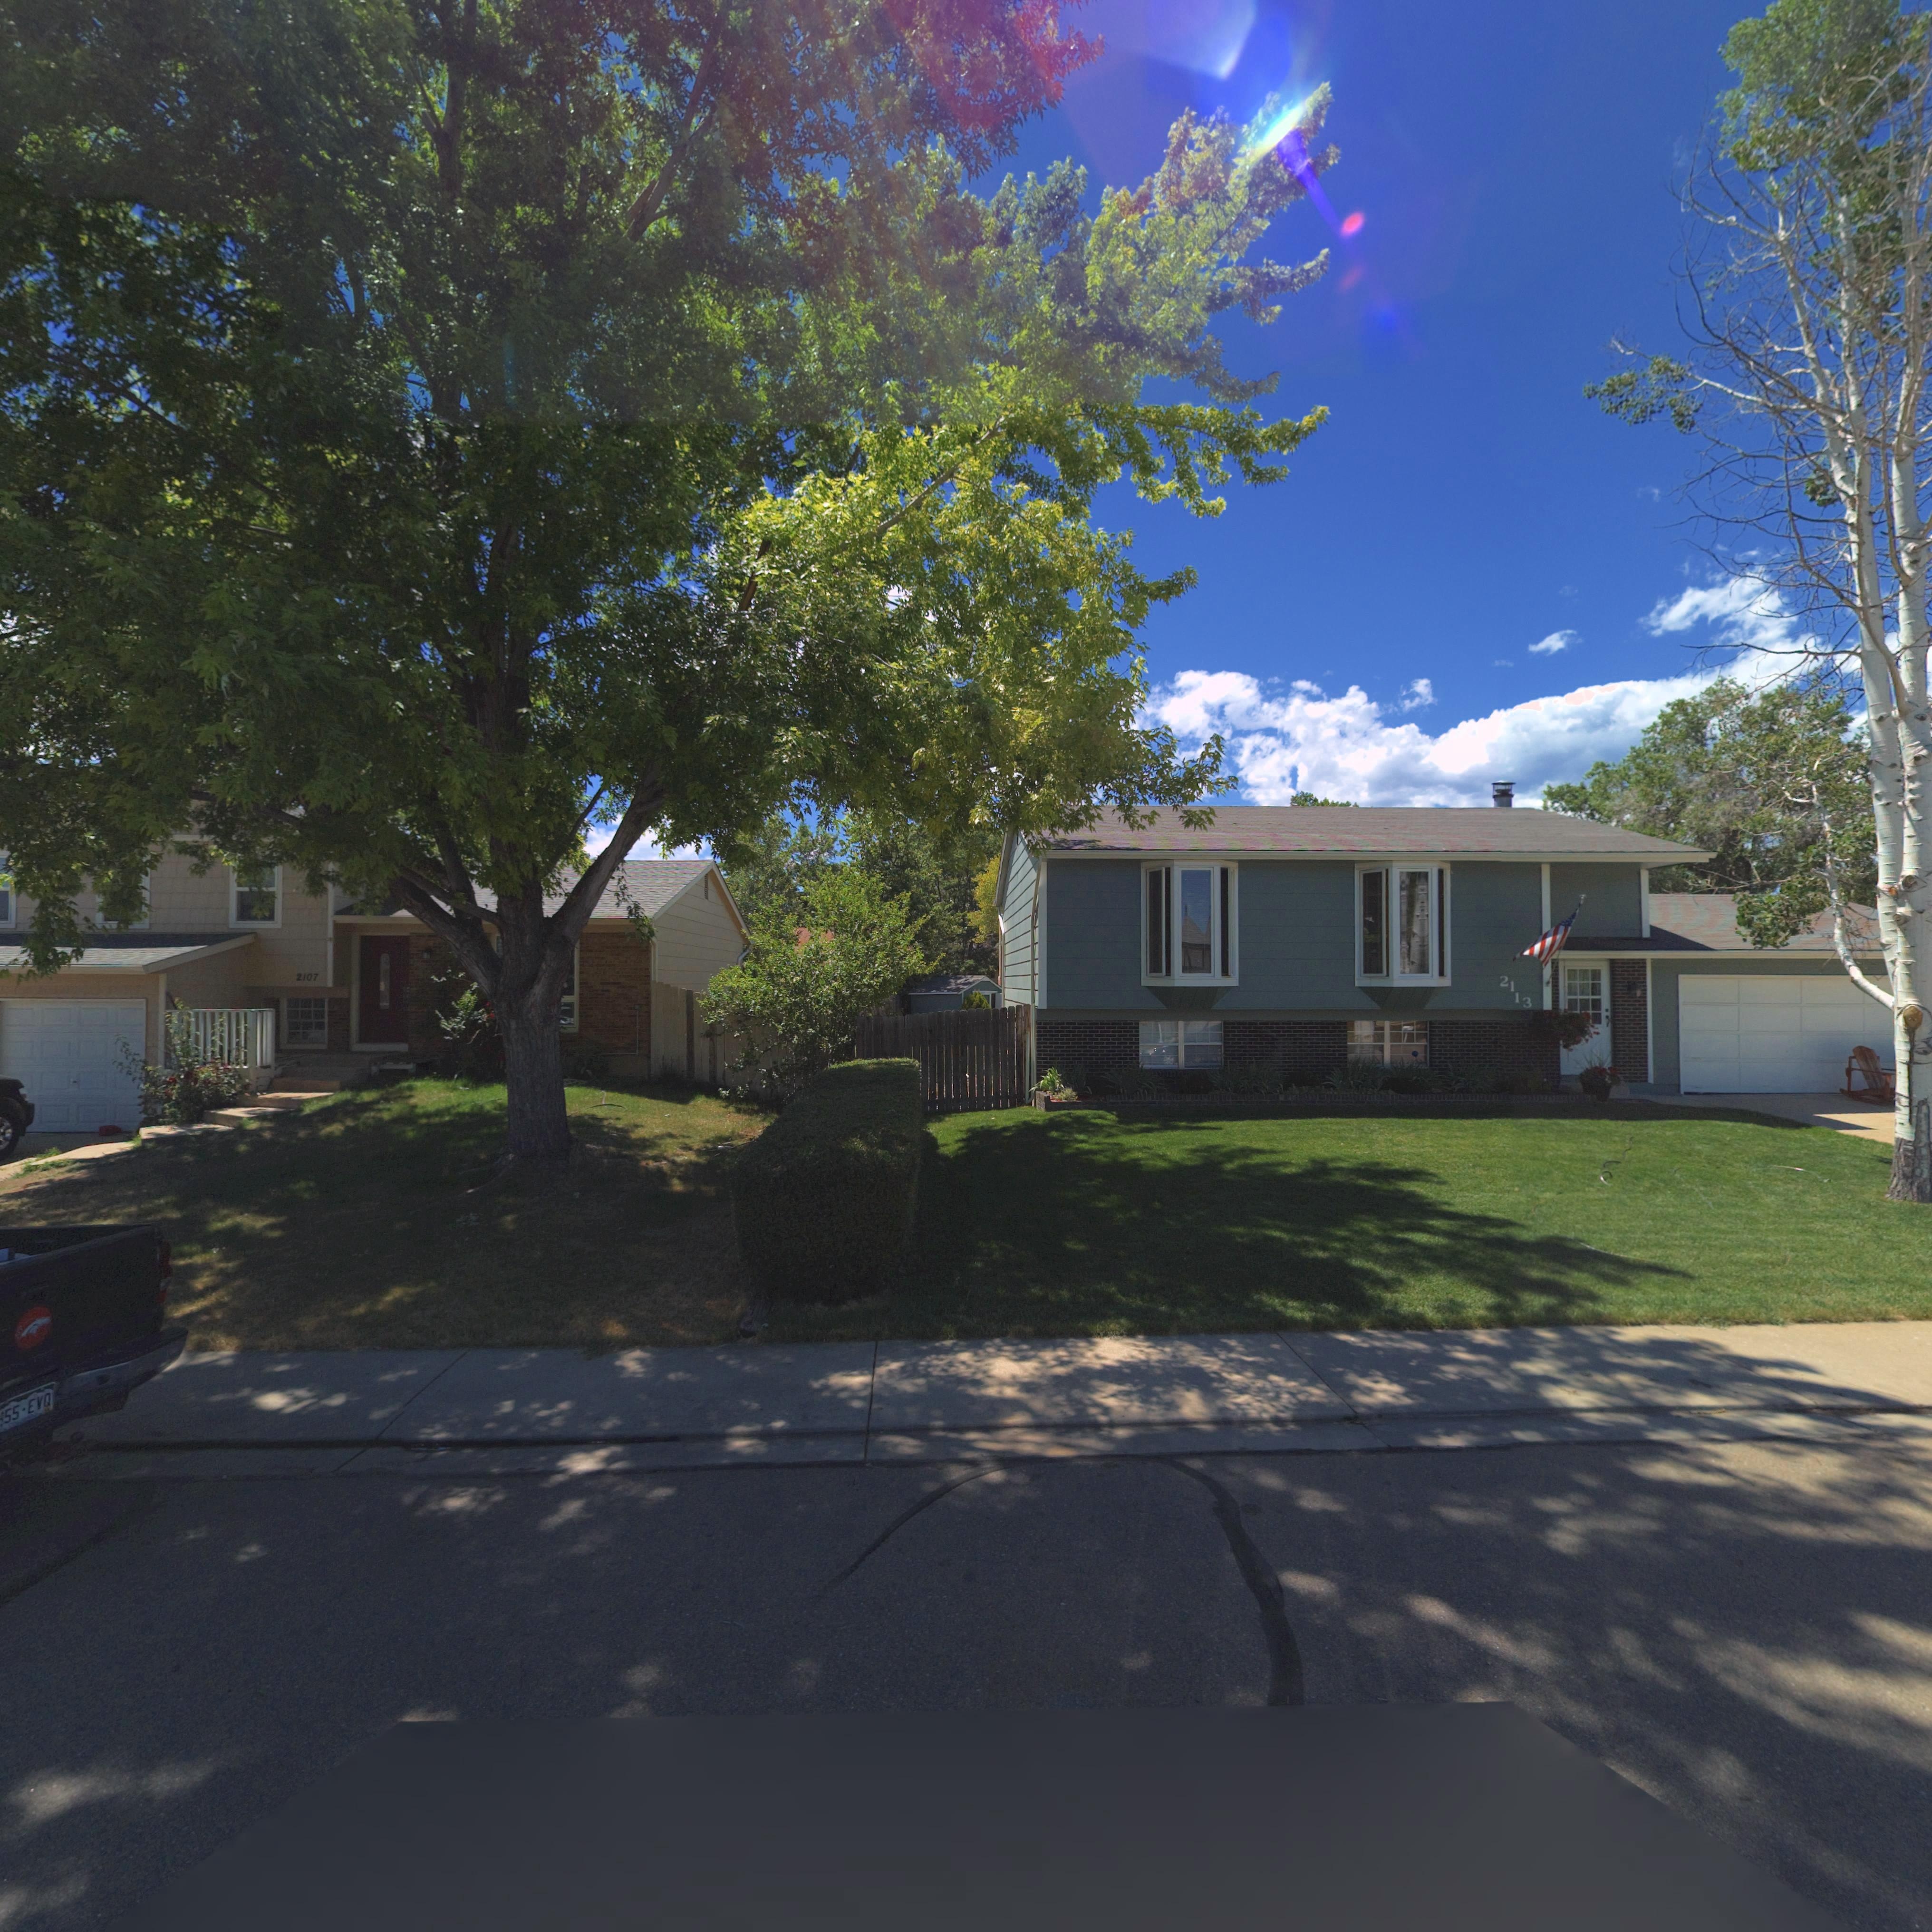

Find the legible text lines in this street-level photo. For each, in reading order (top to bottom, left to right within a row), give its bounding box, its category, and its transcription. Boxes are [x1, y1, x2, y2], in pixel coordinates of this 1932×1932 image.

[296, 972, 319, 981] StreetNumber: 2107
[1498, 975, 1532, 1009] StreetNumber: 2113